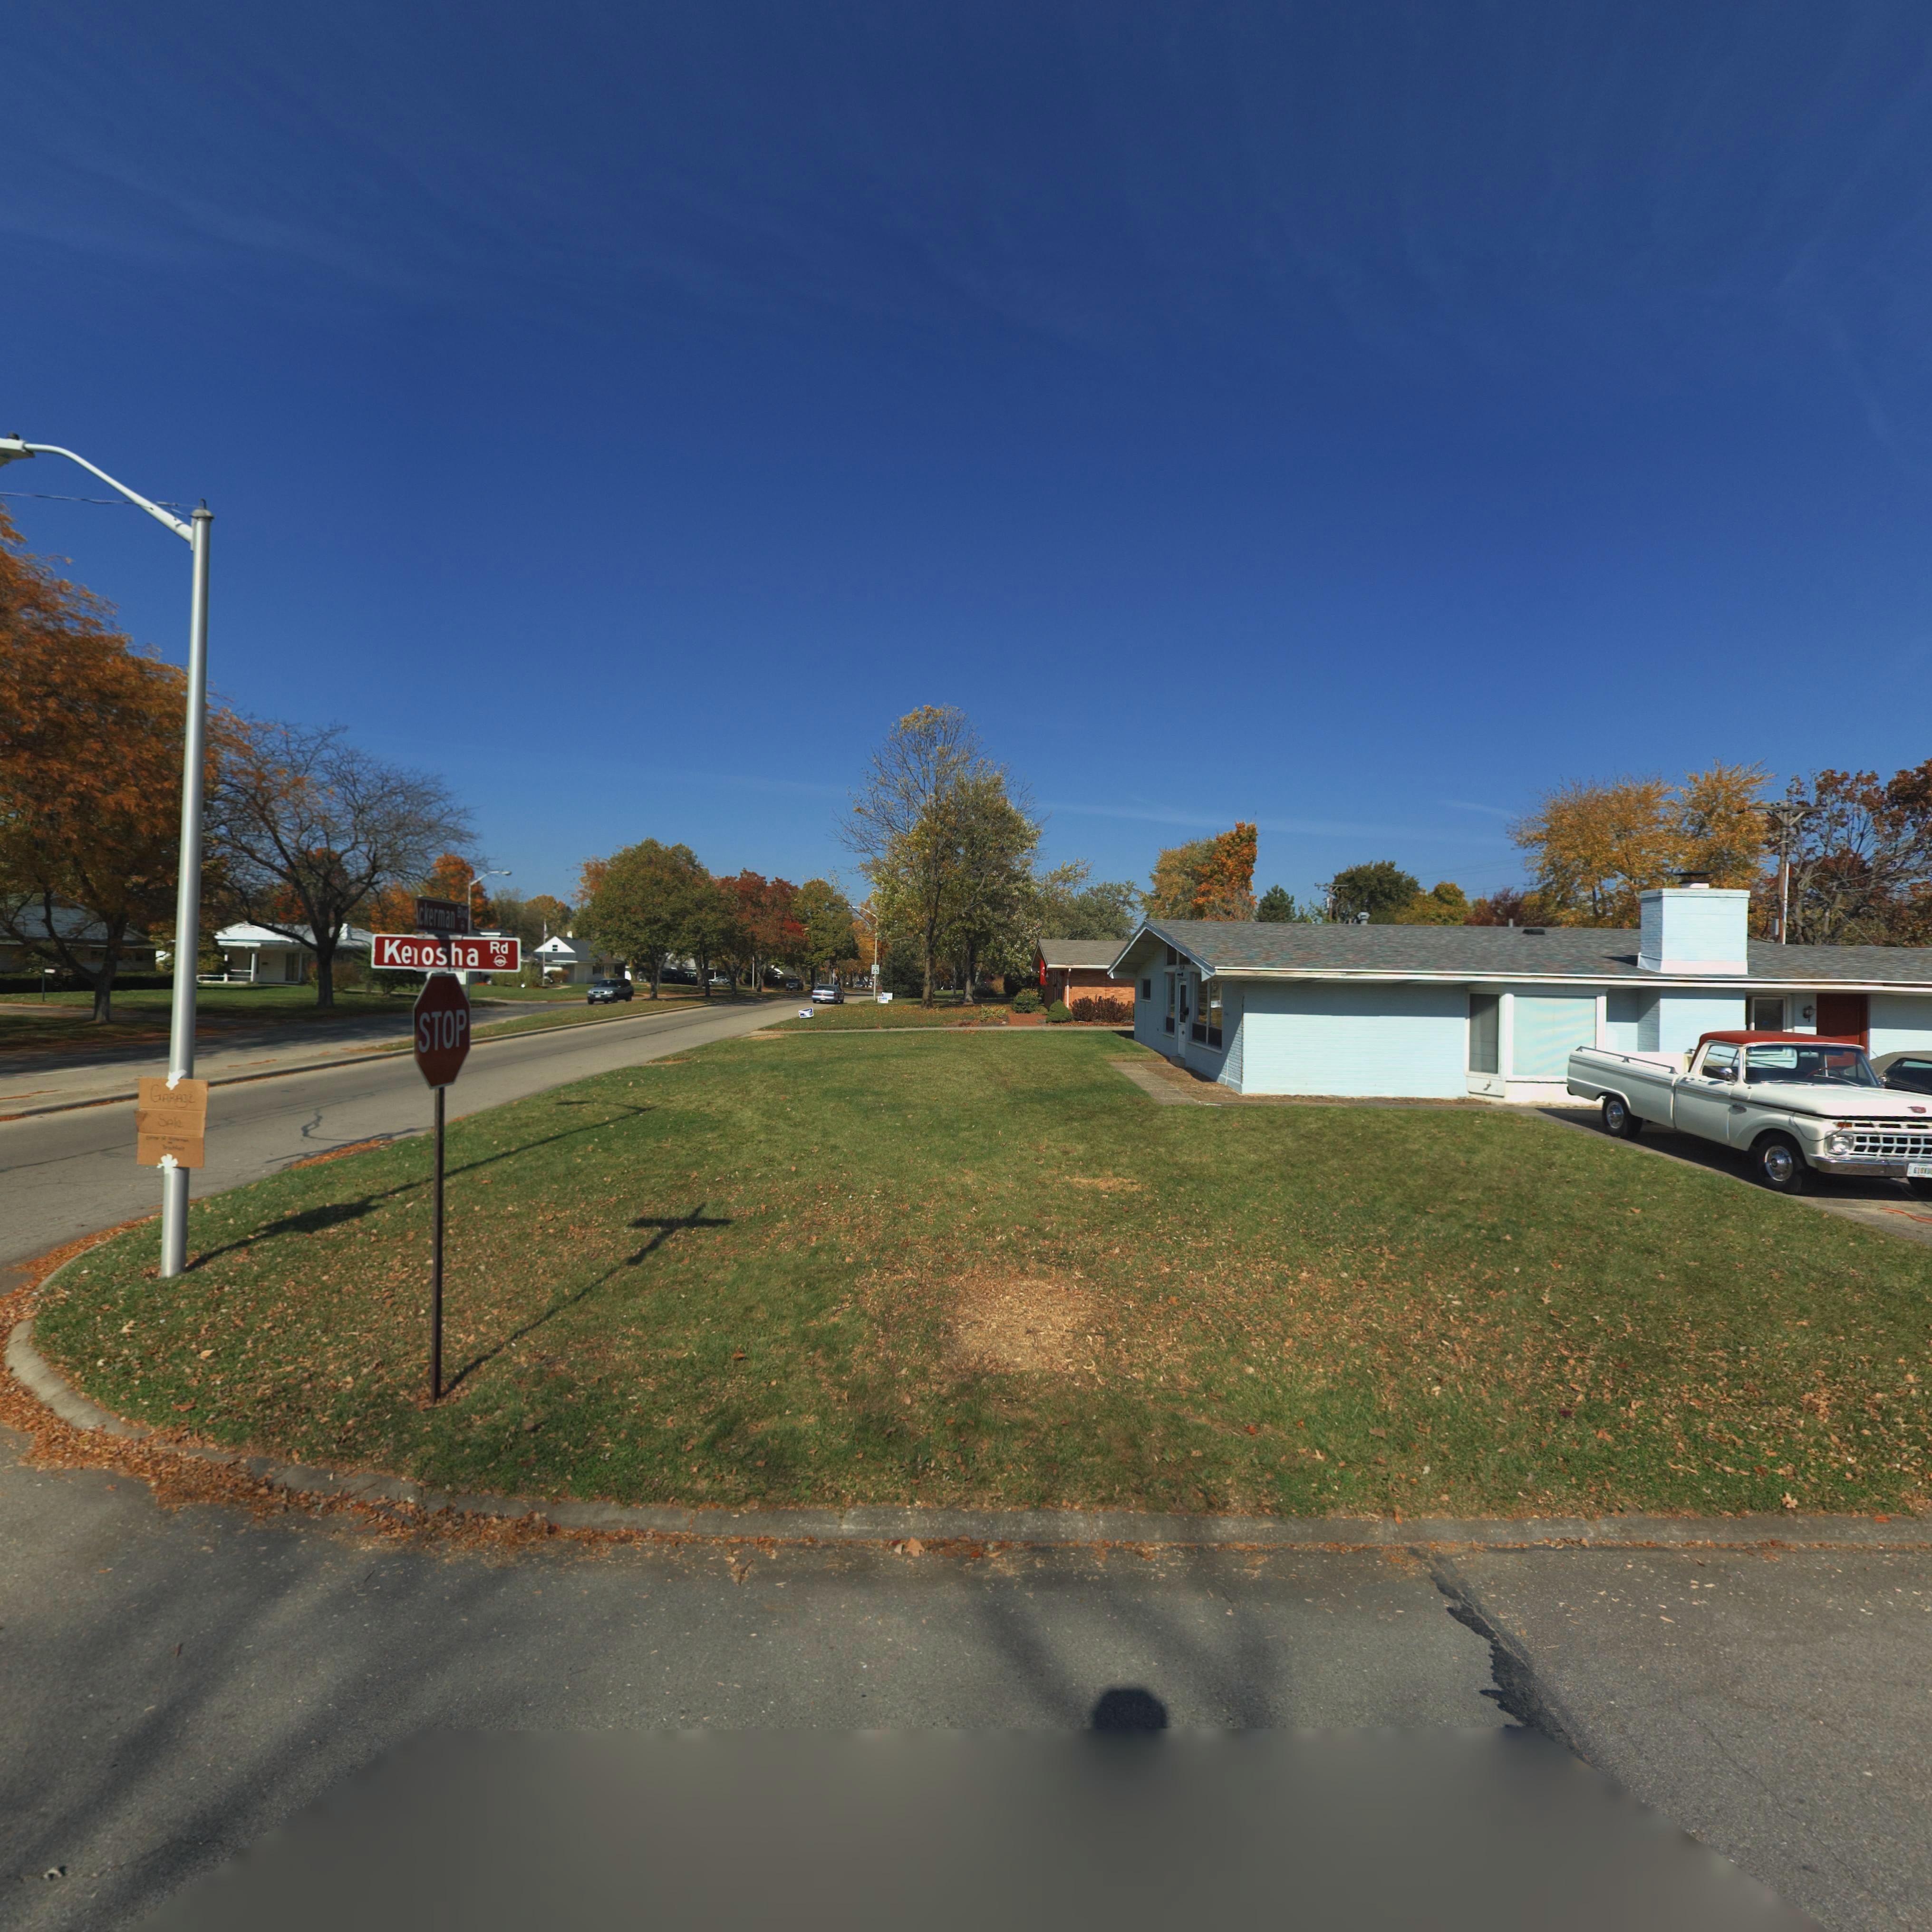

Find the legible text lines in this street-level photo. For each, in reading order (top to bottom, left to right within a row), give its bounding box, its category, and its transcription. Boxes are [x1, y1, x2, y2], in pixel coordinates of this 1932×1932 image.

[417, 900, 470, 931] StreetName: ckerman Blvd
[381, 937, 511, 969] StreetName: Ke*osha Rd
[871, 969, 879, 974] None: 25
[415, 1007, 470, 1055] None: STOP
[146, 1082, 199, 1111] None: GARAge
[155, 1111, 187, 1130] None: SAle